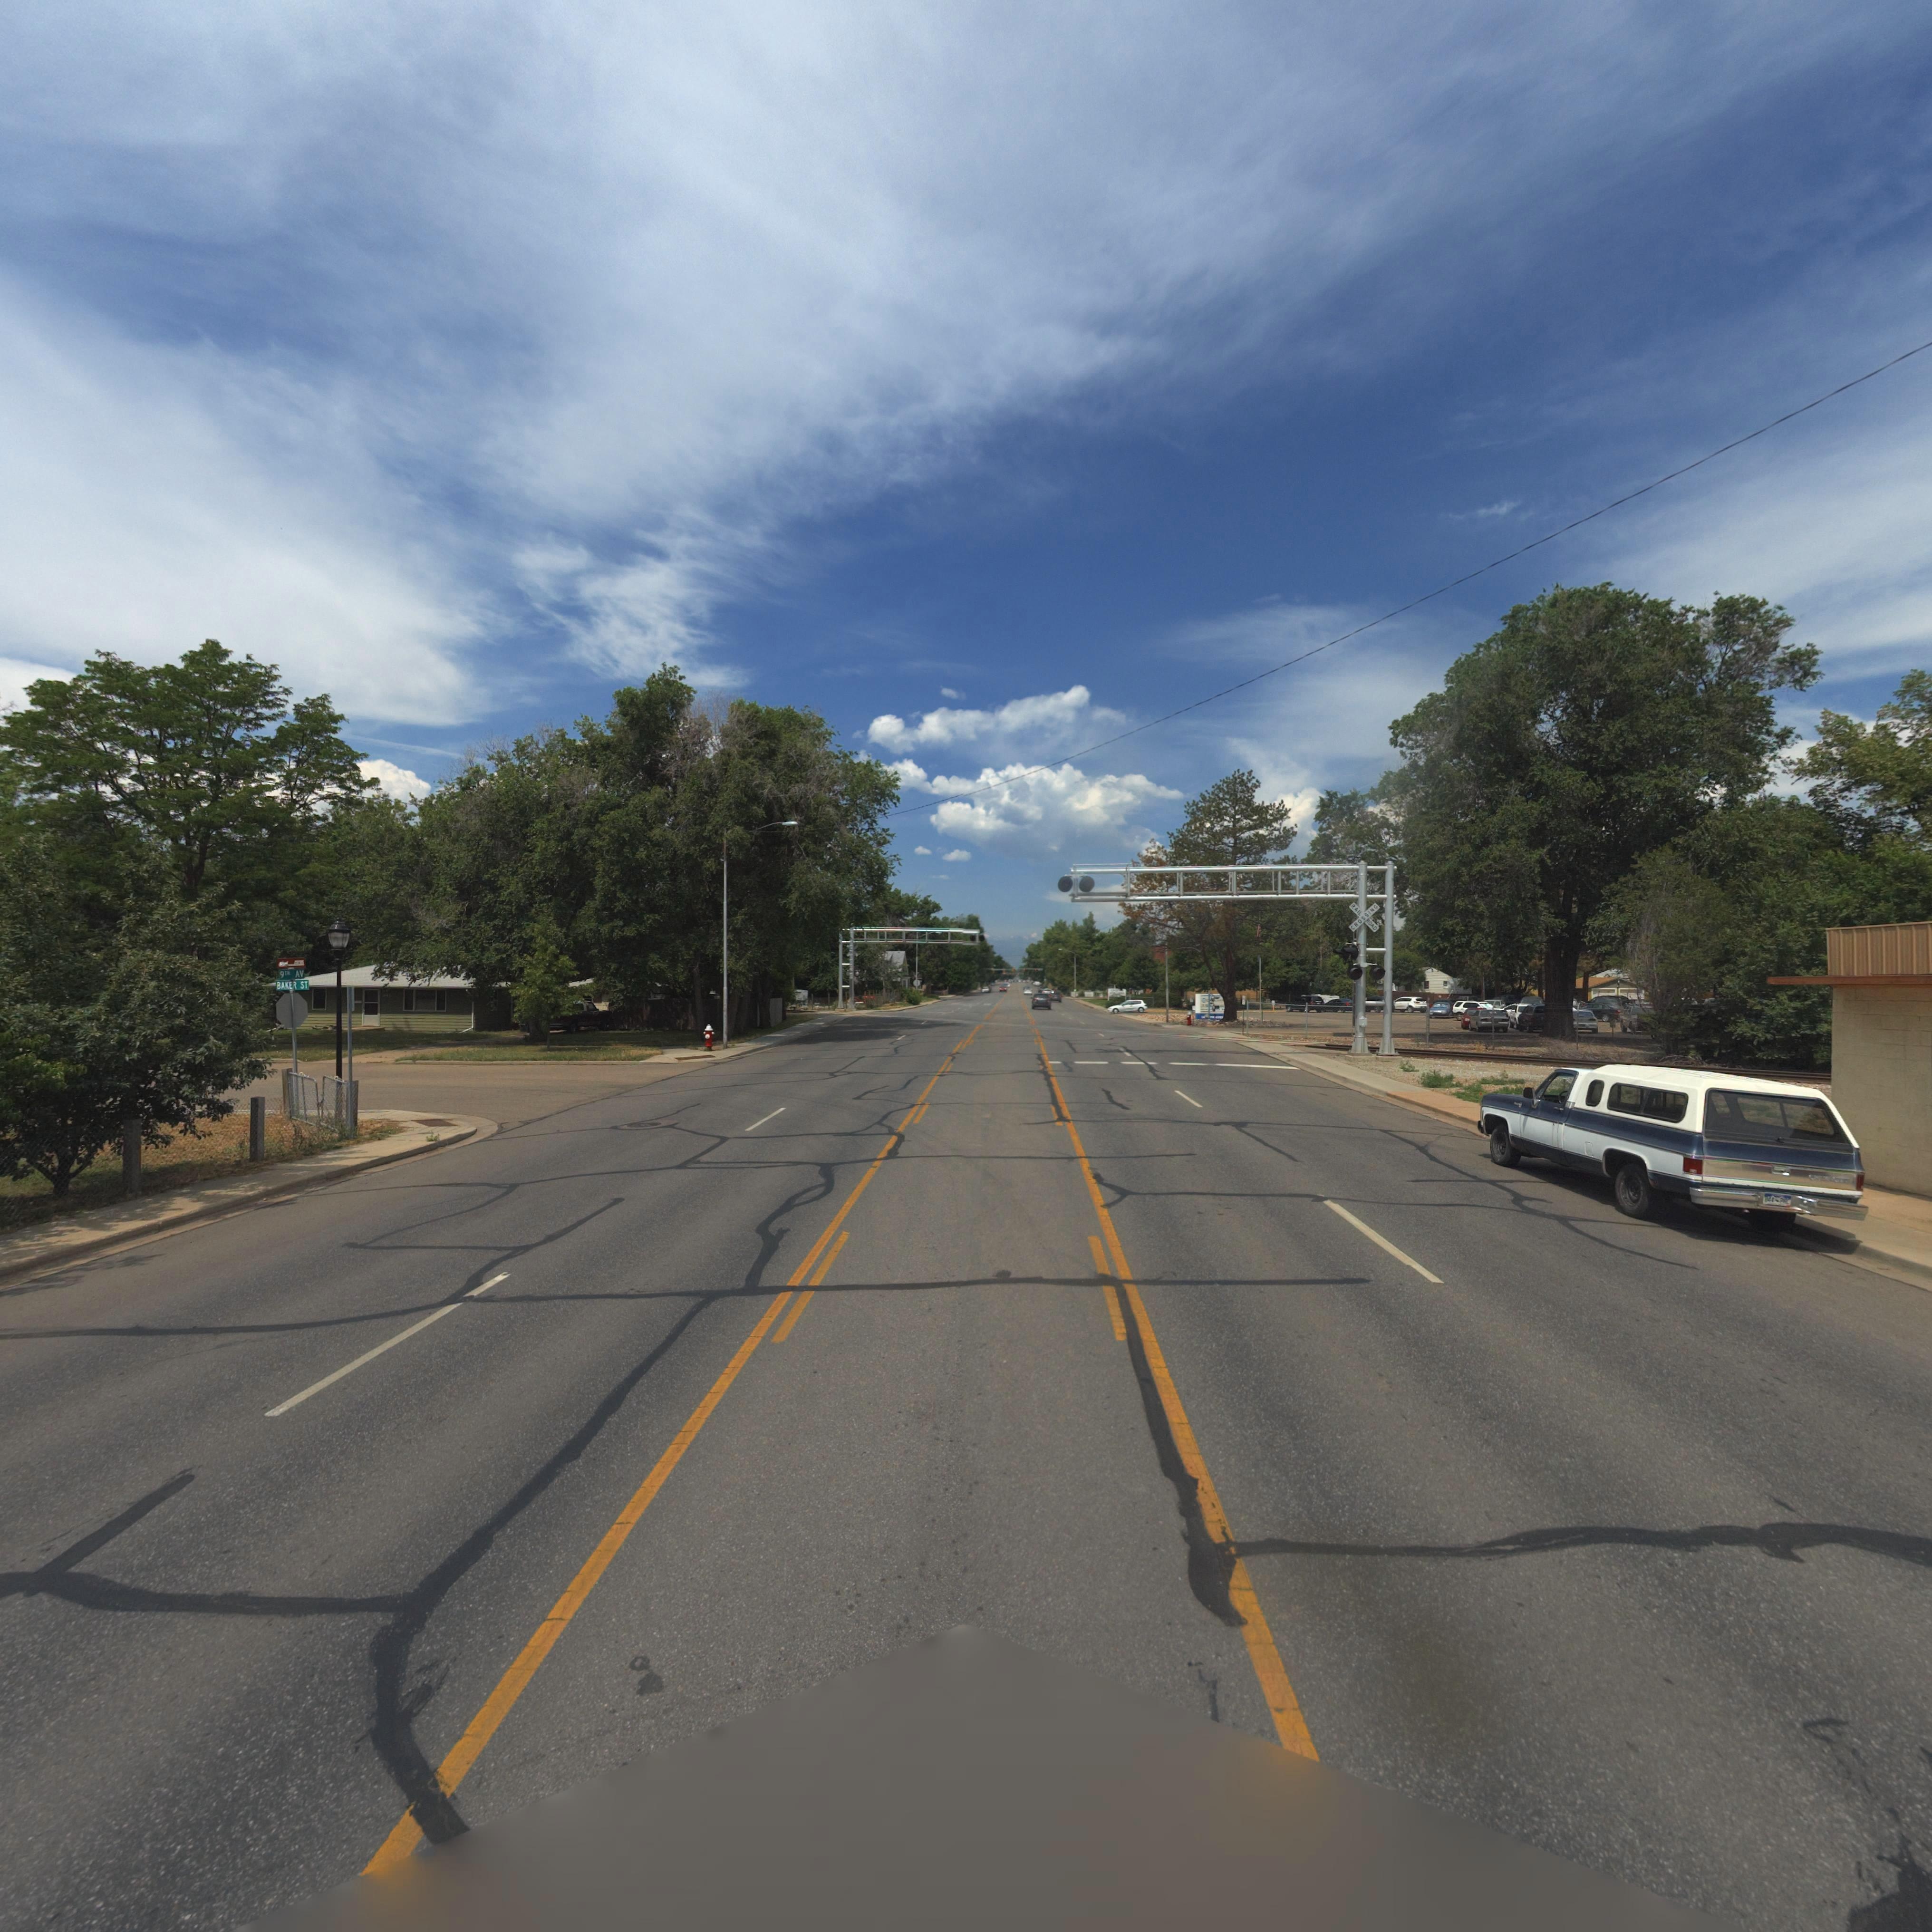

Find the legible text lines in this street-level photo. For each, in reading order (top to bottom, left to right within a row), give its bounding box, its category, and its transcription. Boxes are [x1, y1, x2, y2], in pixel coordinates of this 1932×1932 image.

[279, 969, 304, 979] StreetName: 9TH AV
[276, 981, 308, 990] StreetName: BAKER ST